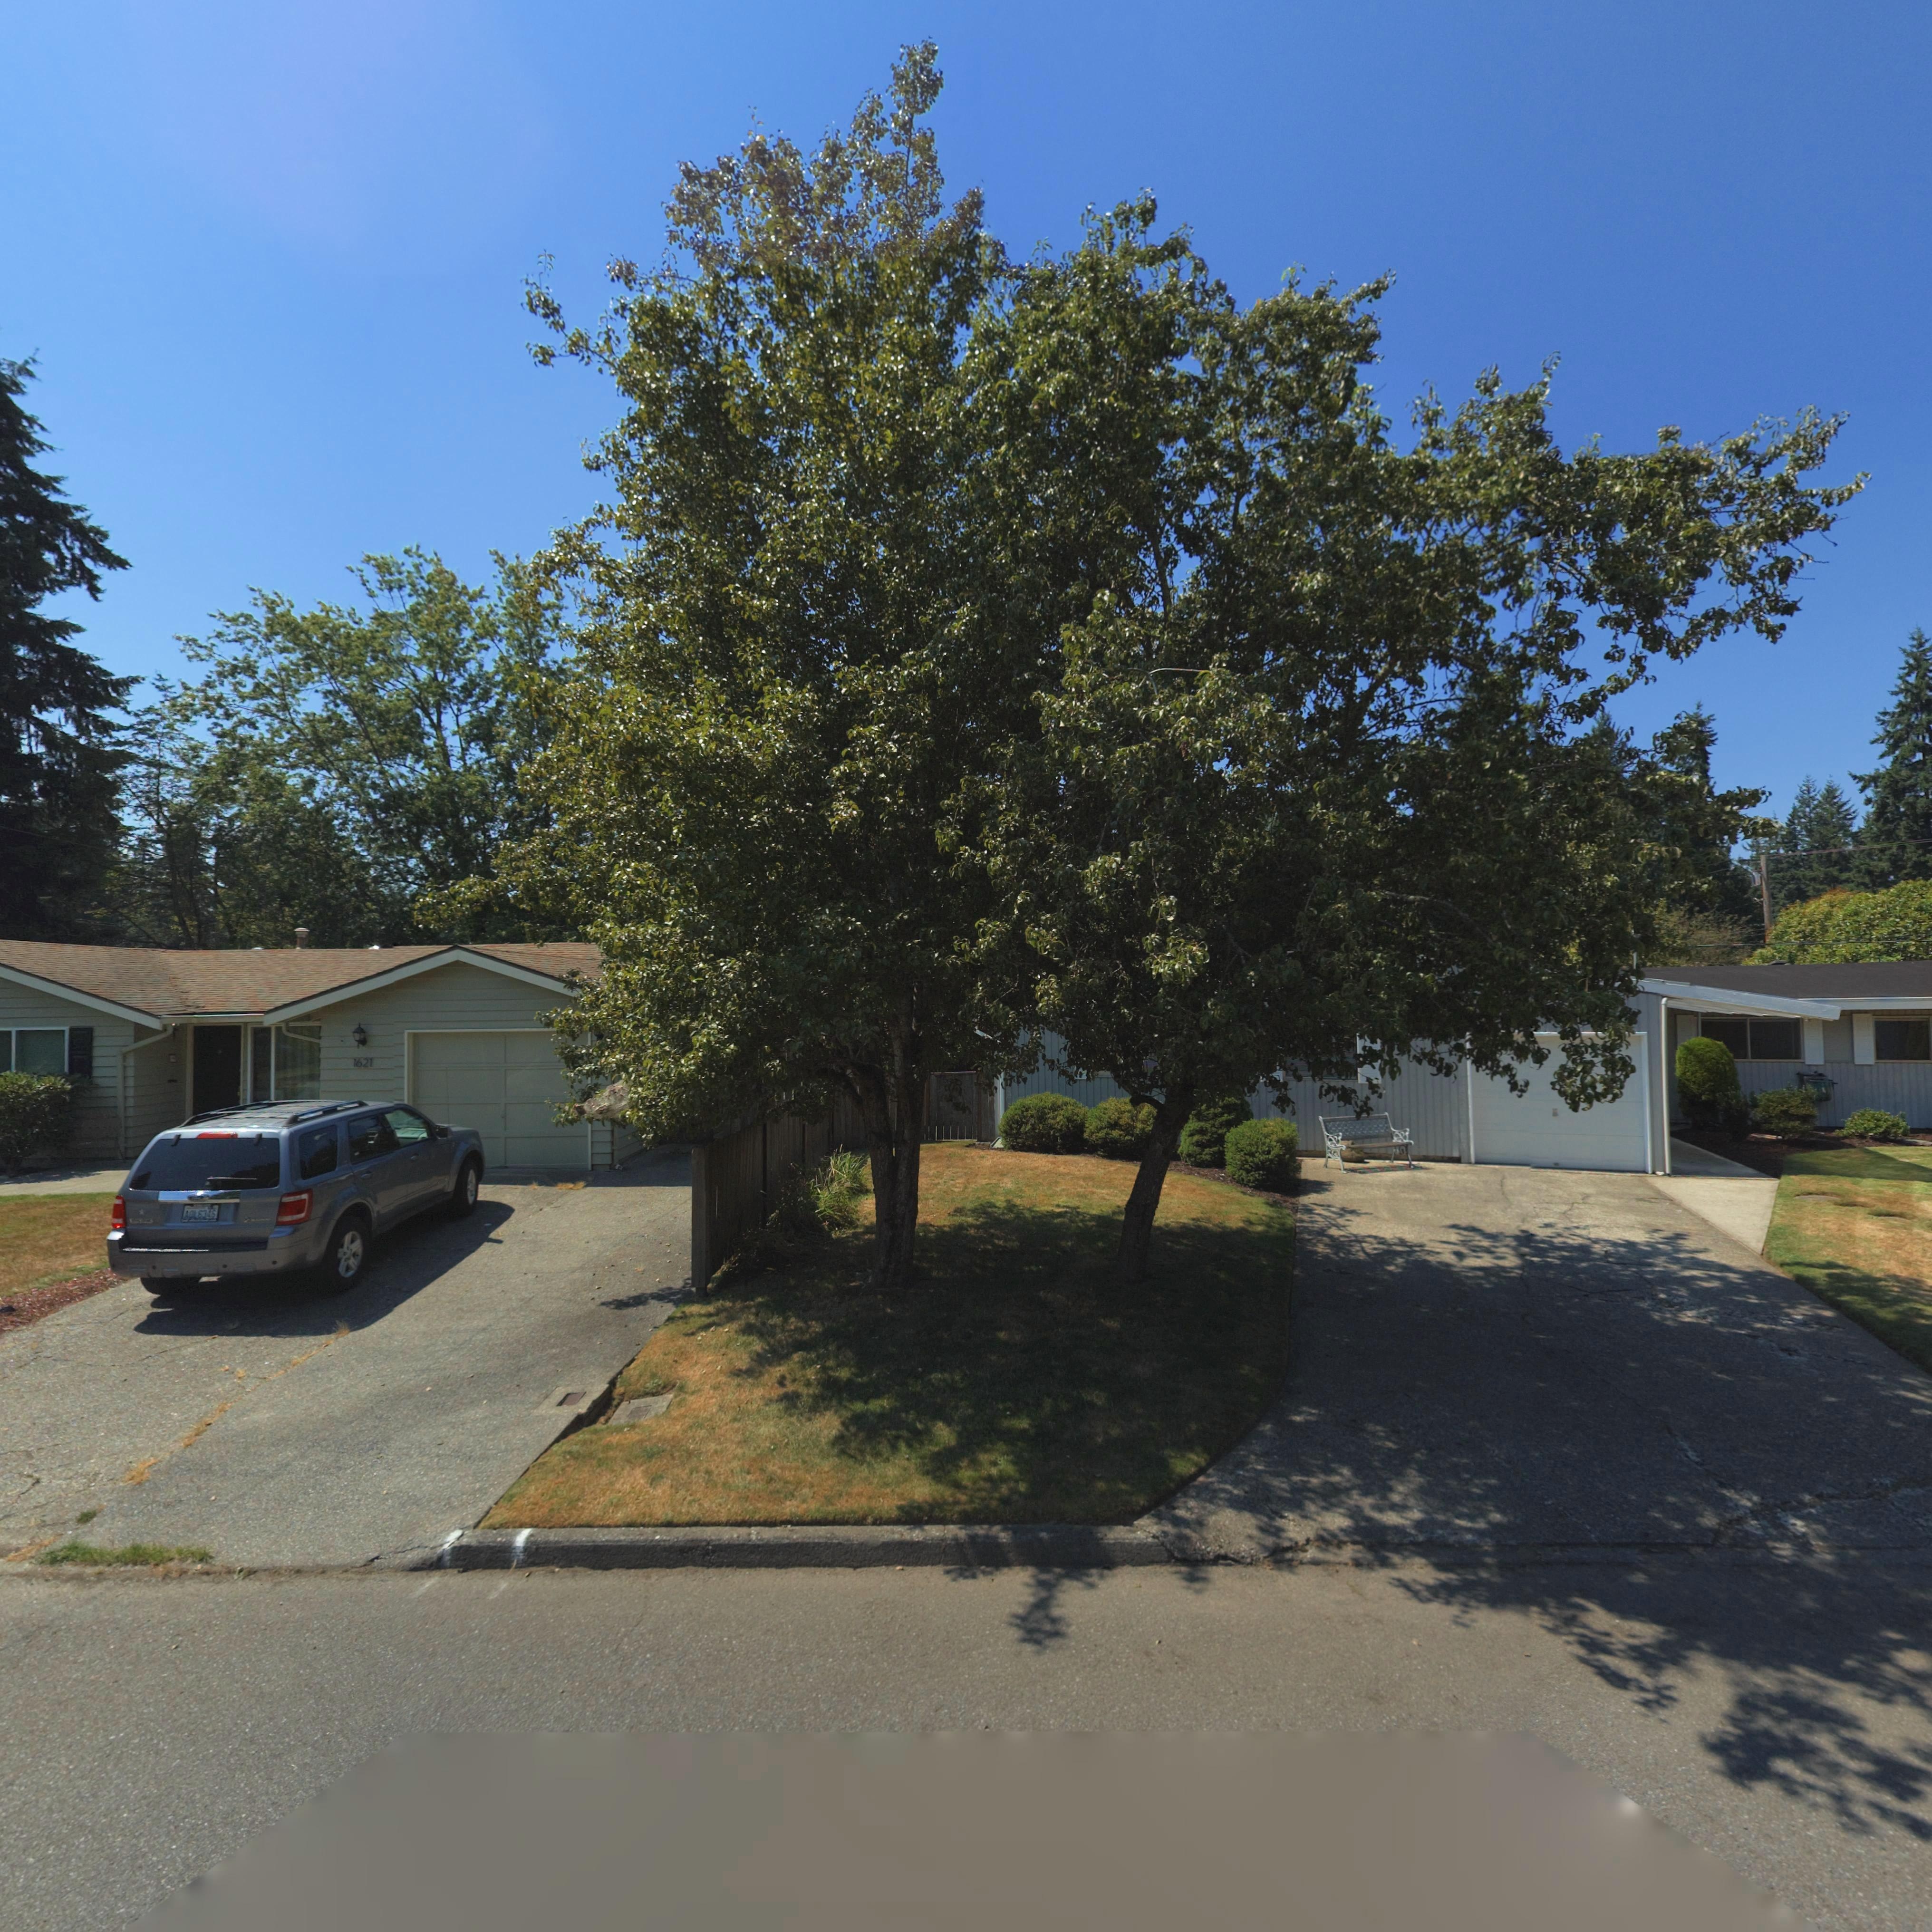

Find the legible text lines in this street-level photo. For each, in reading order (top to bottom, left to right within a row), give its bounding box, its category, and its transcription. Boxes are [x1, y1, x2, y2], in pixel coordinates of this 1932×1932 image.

[352, 1056, 376, 1071] StreetNumber: 1621